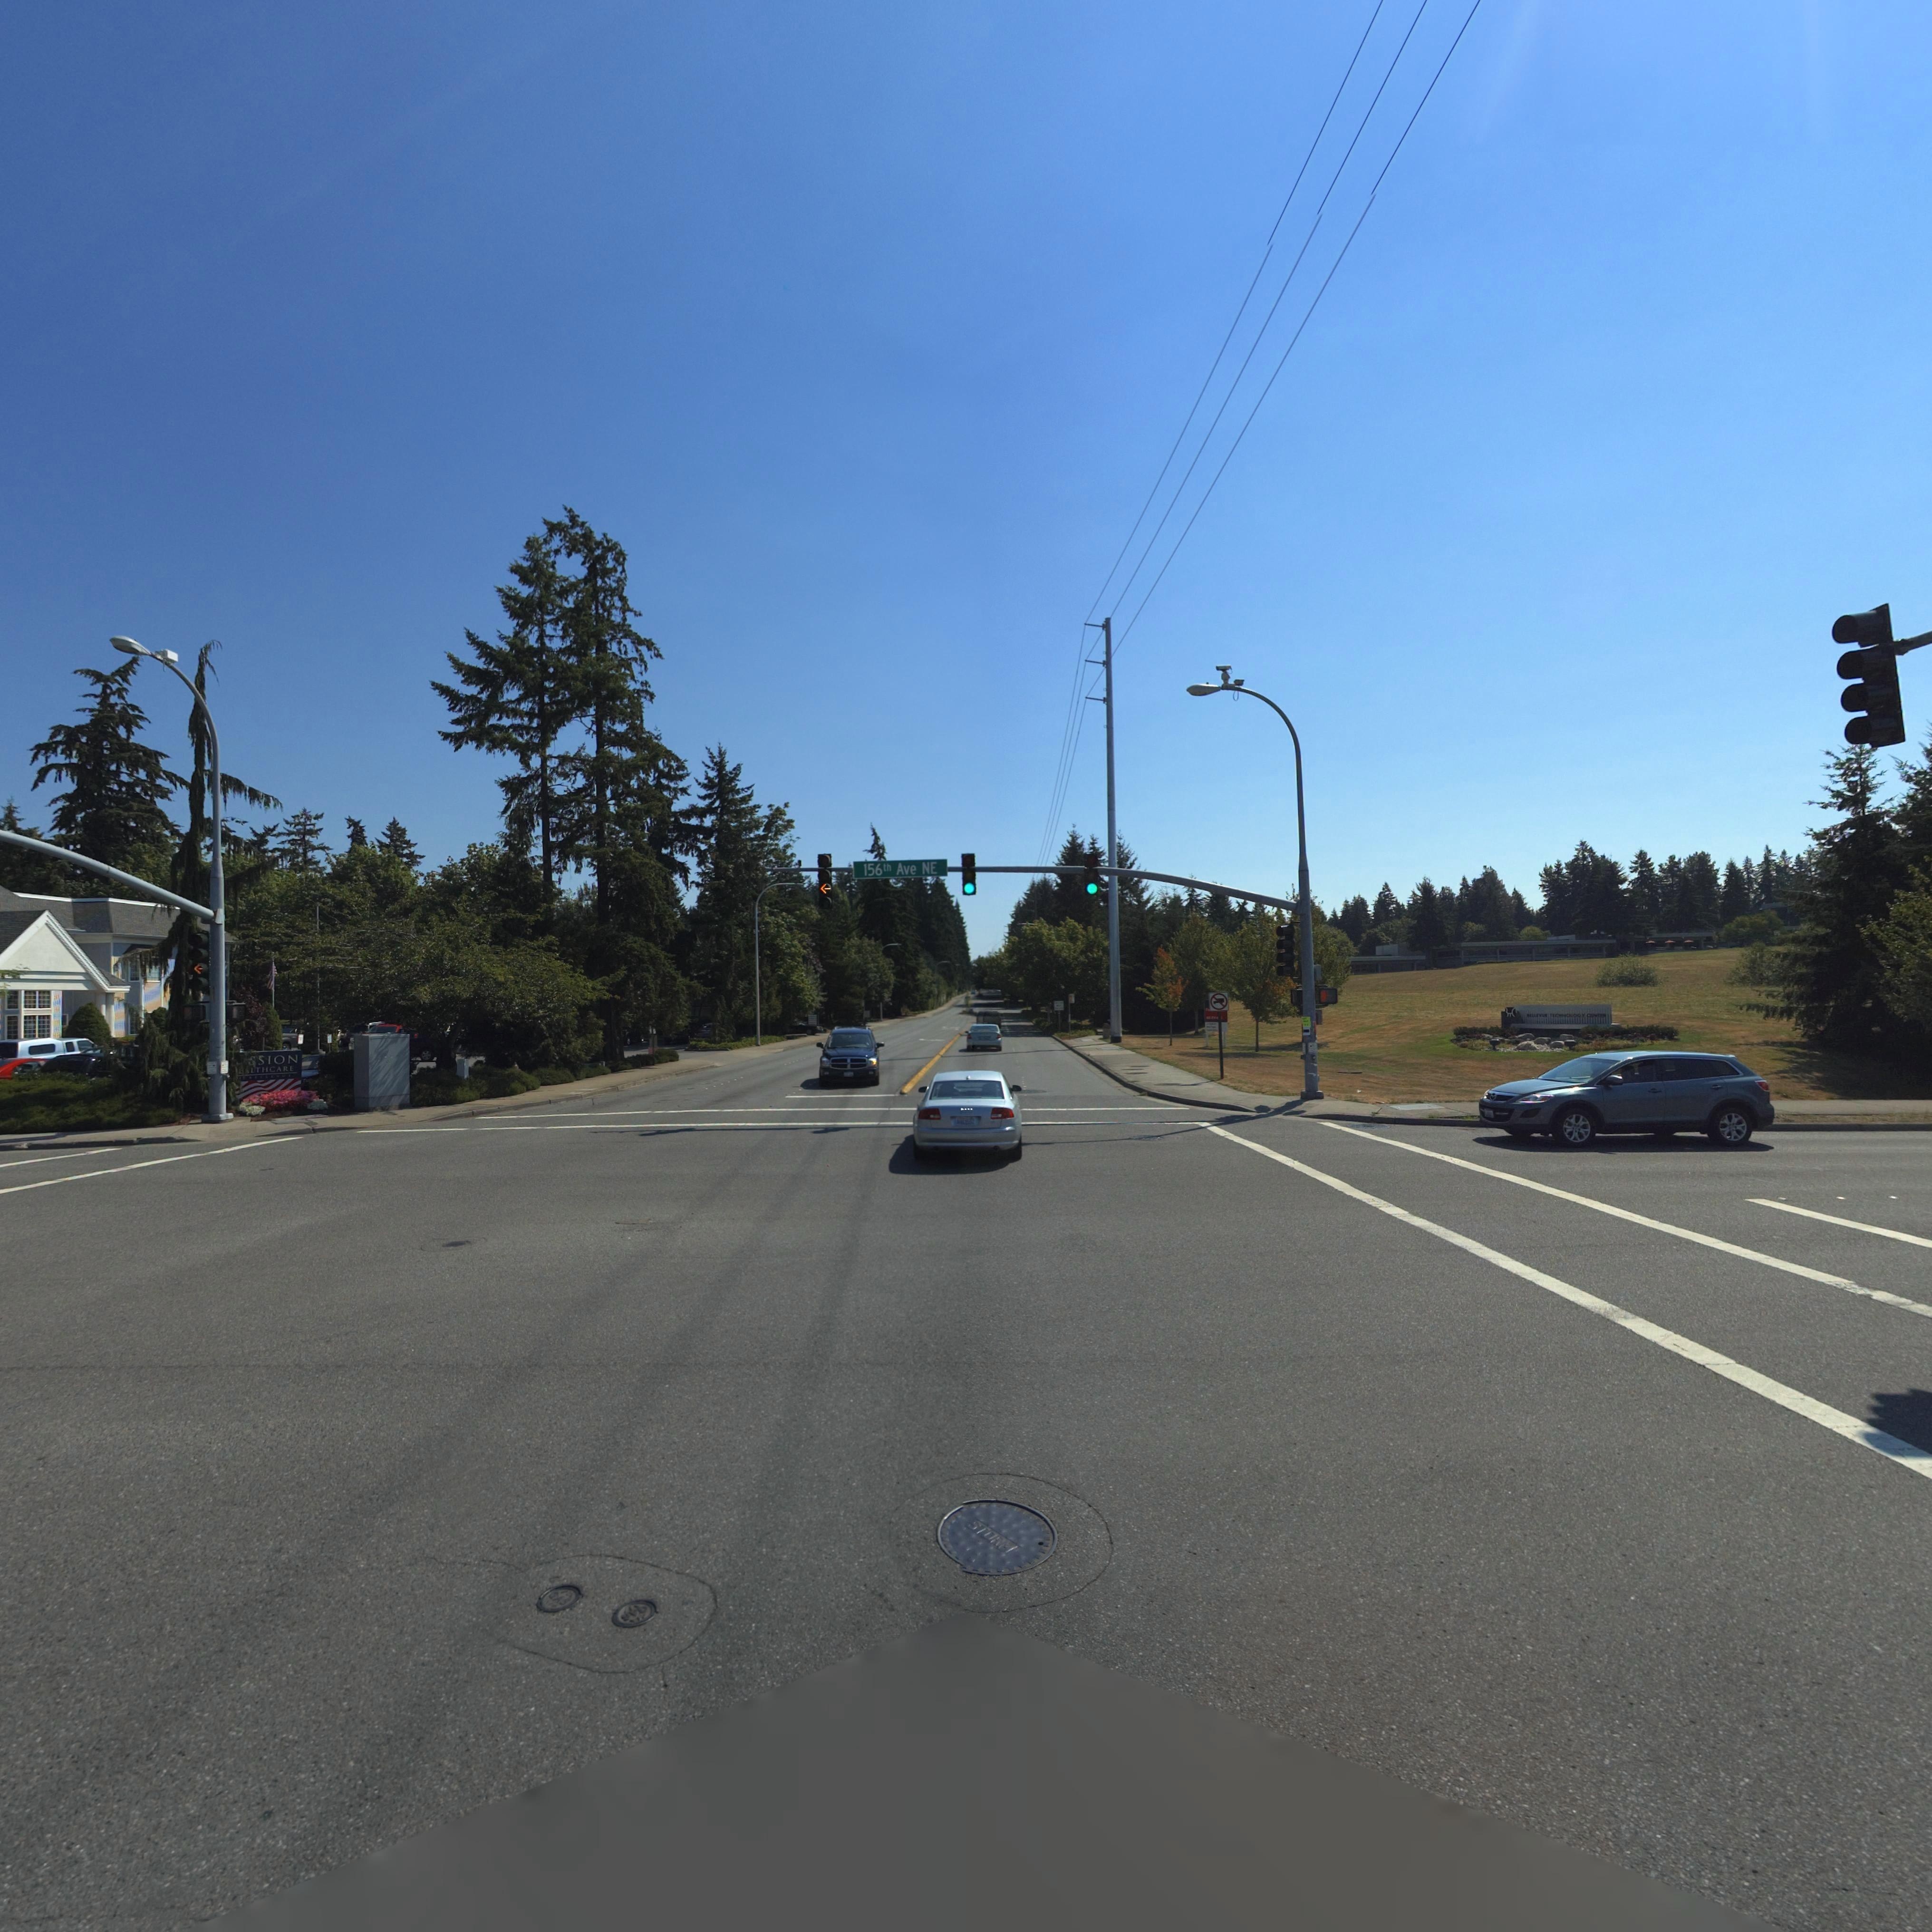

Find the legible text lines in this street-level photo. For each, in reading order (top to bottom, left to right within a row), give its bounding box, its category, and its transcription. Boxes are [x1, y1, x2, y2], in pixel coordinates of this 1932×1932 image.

[863, 862, 937, 876] StreetName: 156th Ave NE
[249, 1053, 298, 1066] BusinessName: *SION
[251, 1065, 294, 1073] BusinessName: *THCARE